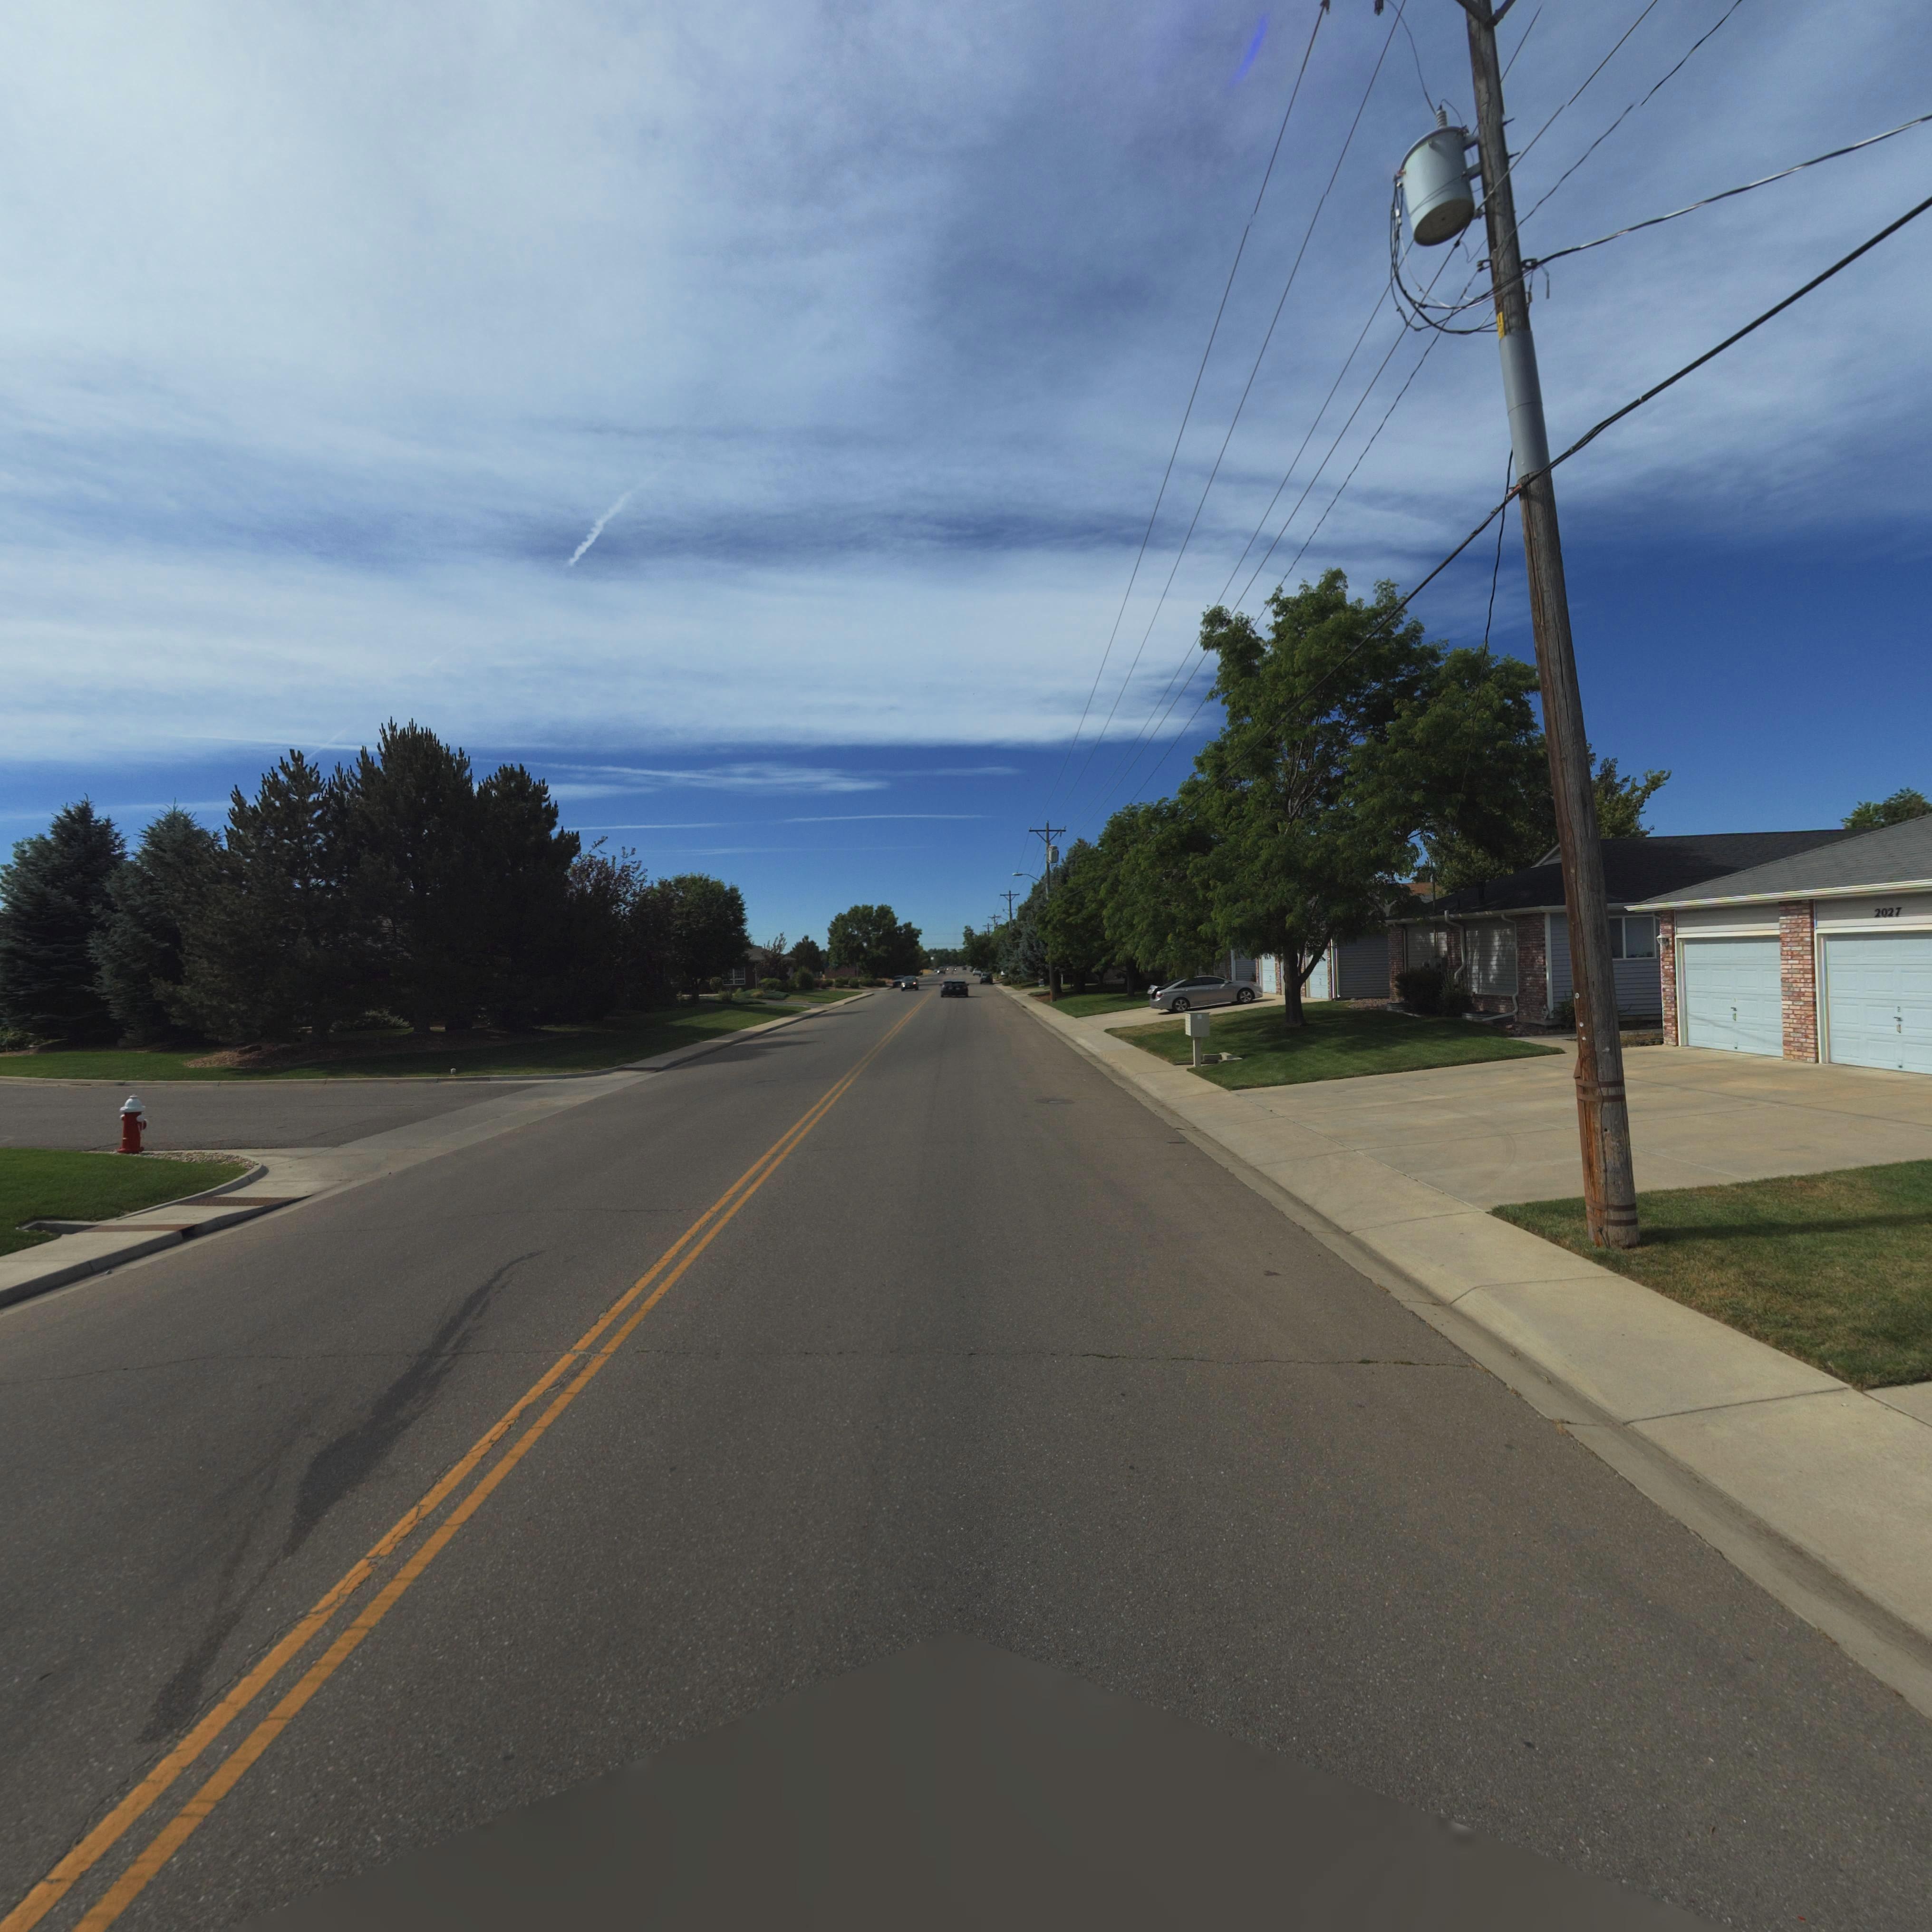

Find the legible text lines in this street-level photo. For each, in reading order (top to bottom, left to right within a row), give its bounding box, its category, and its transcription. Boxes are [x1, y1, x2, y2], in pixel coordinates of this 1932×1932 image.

[1873, 907, 1903, 918] StreetNumber: 2027